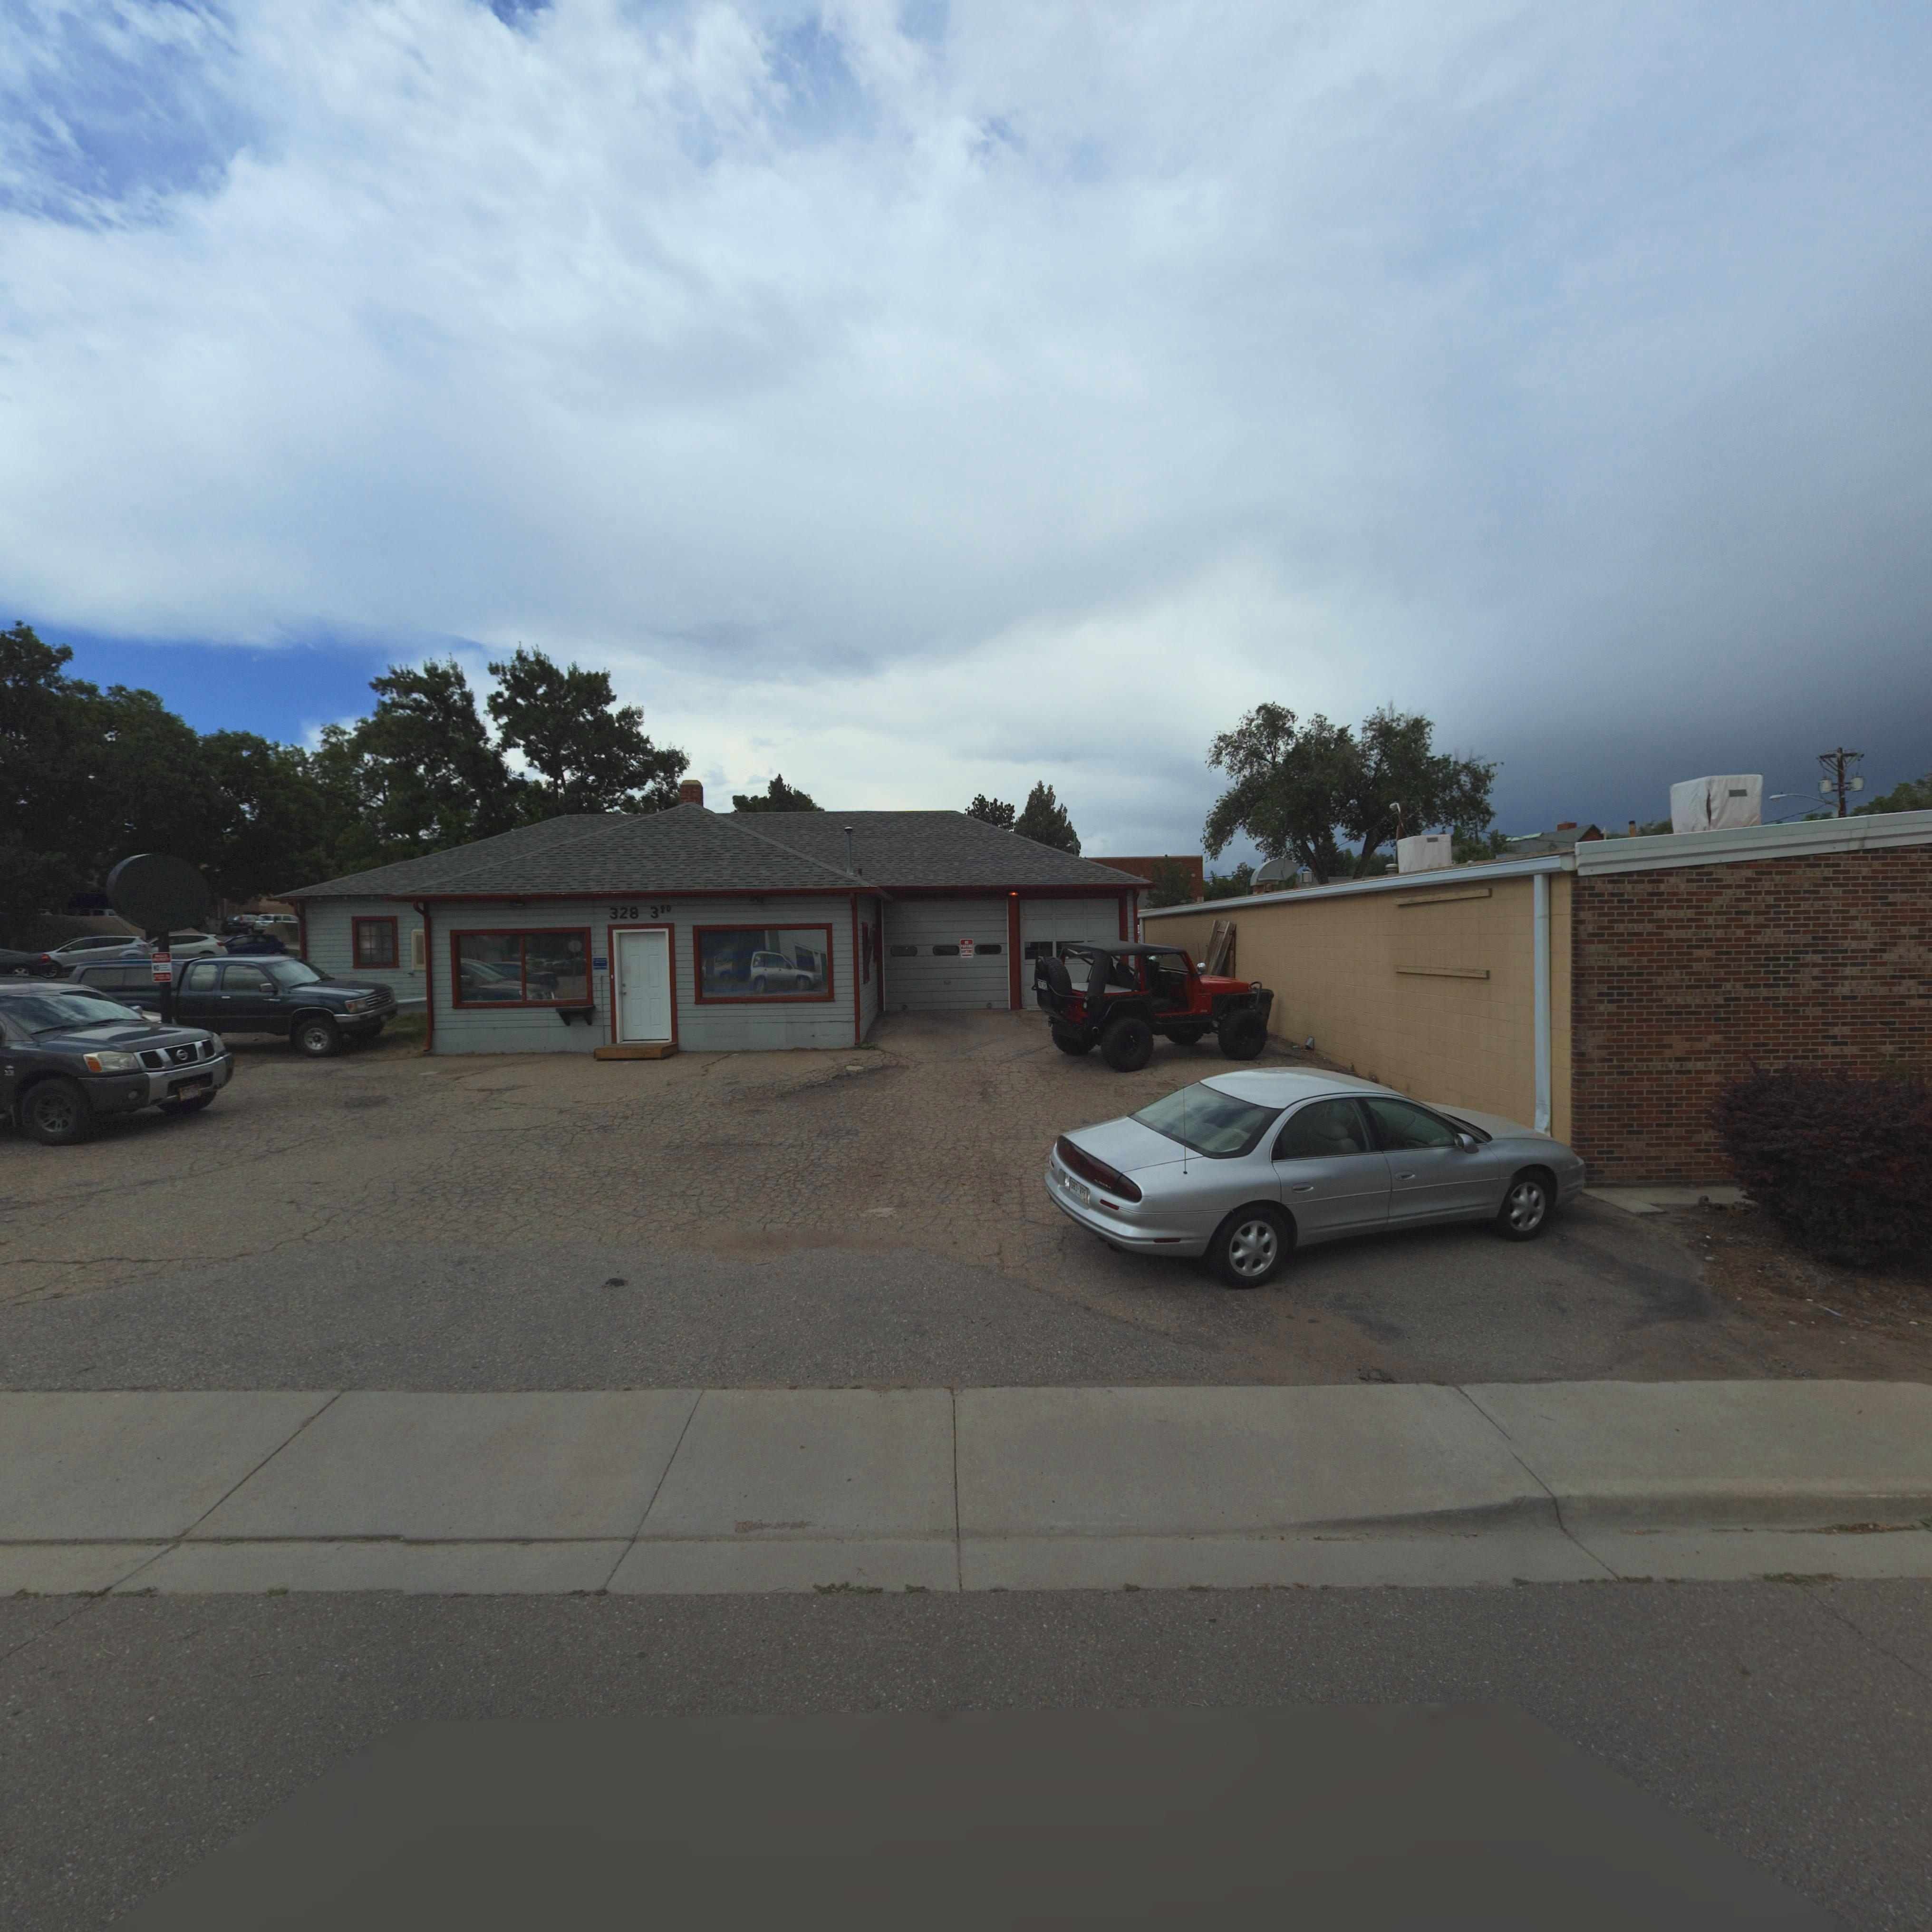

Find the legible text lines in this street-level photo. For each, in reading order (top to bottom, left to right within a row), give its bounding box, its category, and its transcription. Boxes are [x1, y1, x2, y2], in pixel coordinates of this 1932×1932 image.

[608, 906, 639, 919] StreetNumber: 328